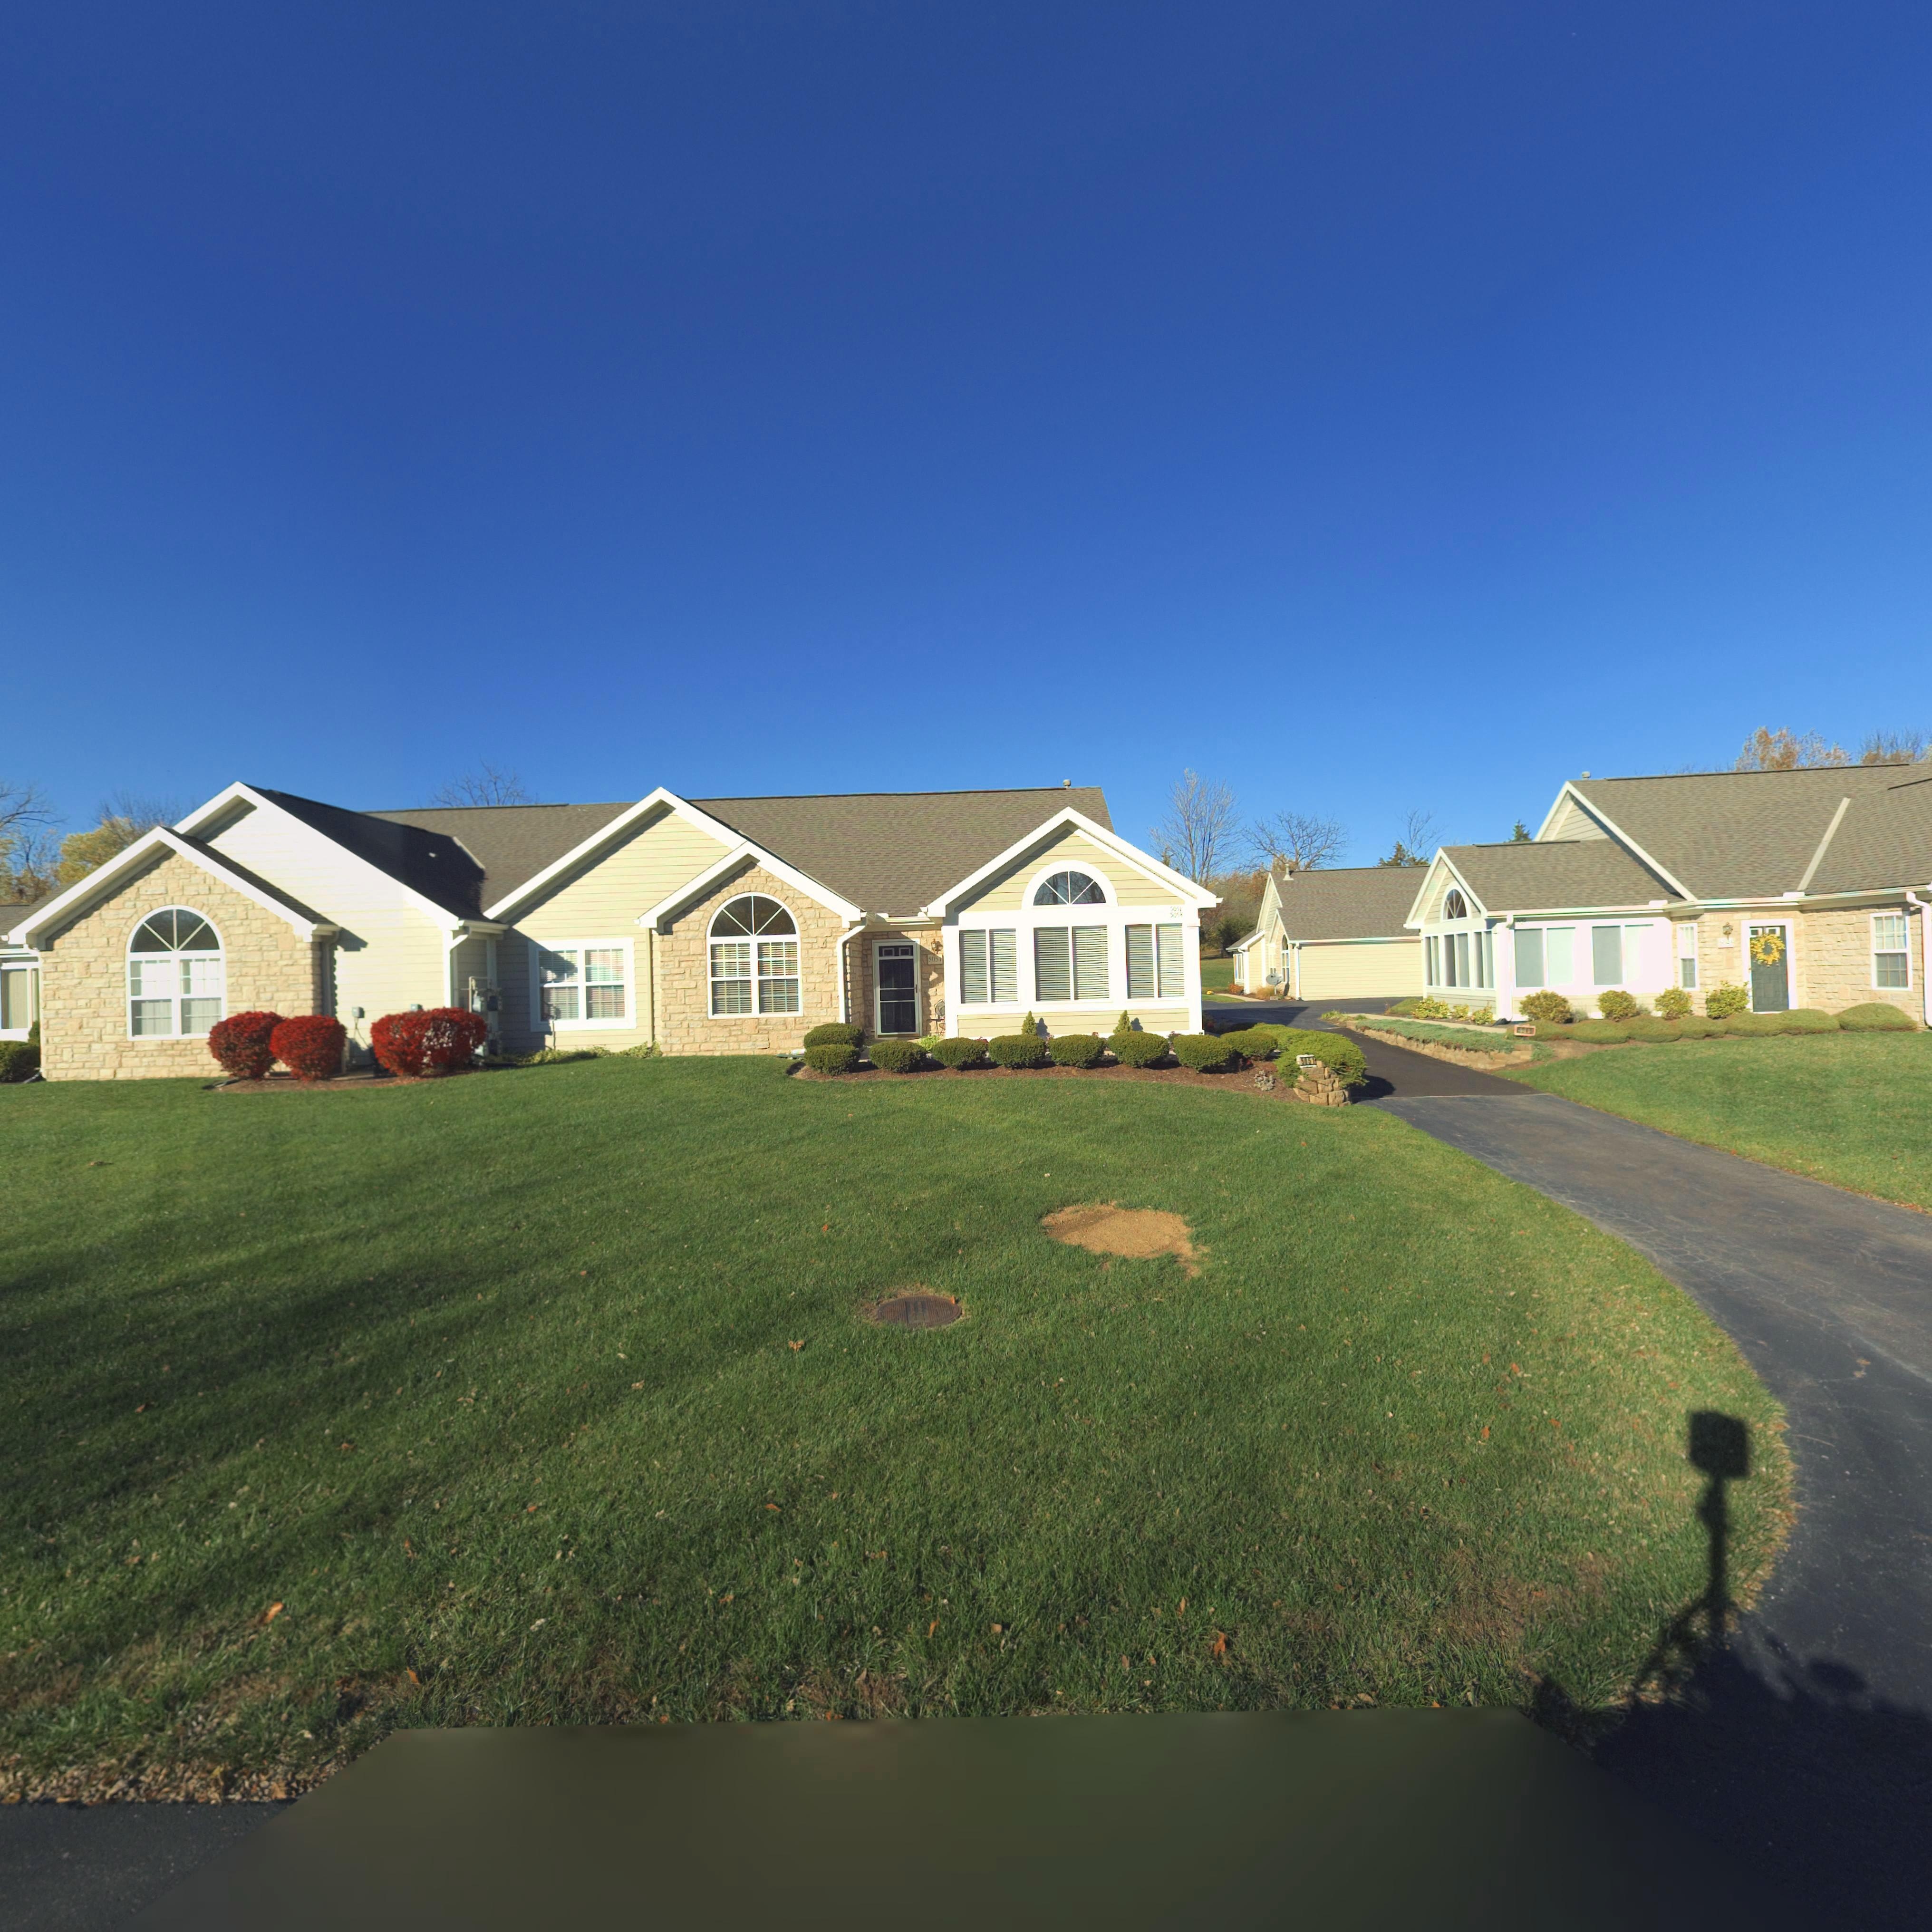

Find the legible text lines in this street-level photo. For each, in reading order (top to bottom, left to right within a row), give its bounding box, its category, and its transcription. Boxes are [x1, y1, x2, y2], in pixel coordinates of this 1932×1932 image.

[927, 956, 942, 963] StreetNumber: 5051
[1300, 1057, 1316, 1066] StreetNumber: 5051